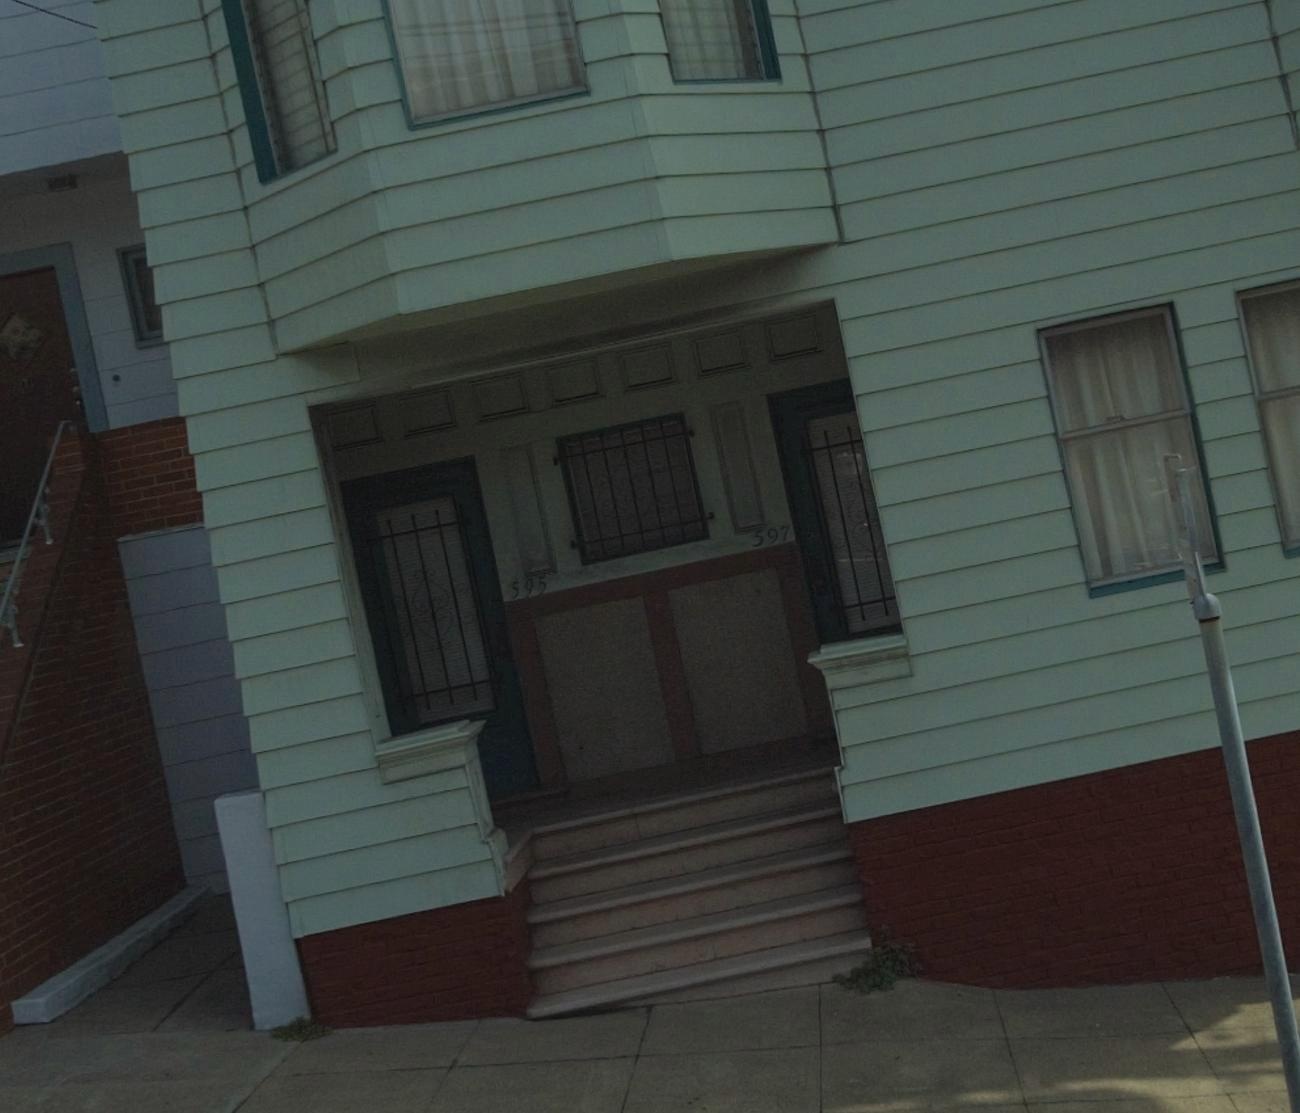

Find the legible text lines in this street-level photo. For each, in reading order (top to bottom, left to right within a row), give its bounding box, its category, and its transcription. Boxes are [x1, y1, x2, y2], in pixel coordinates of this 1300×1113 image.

[749, 524, 793, 549] StreetNumber: 597
[508, 573, 549, 602] StreetNumber: 595